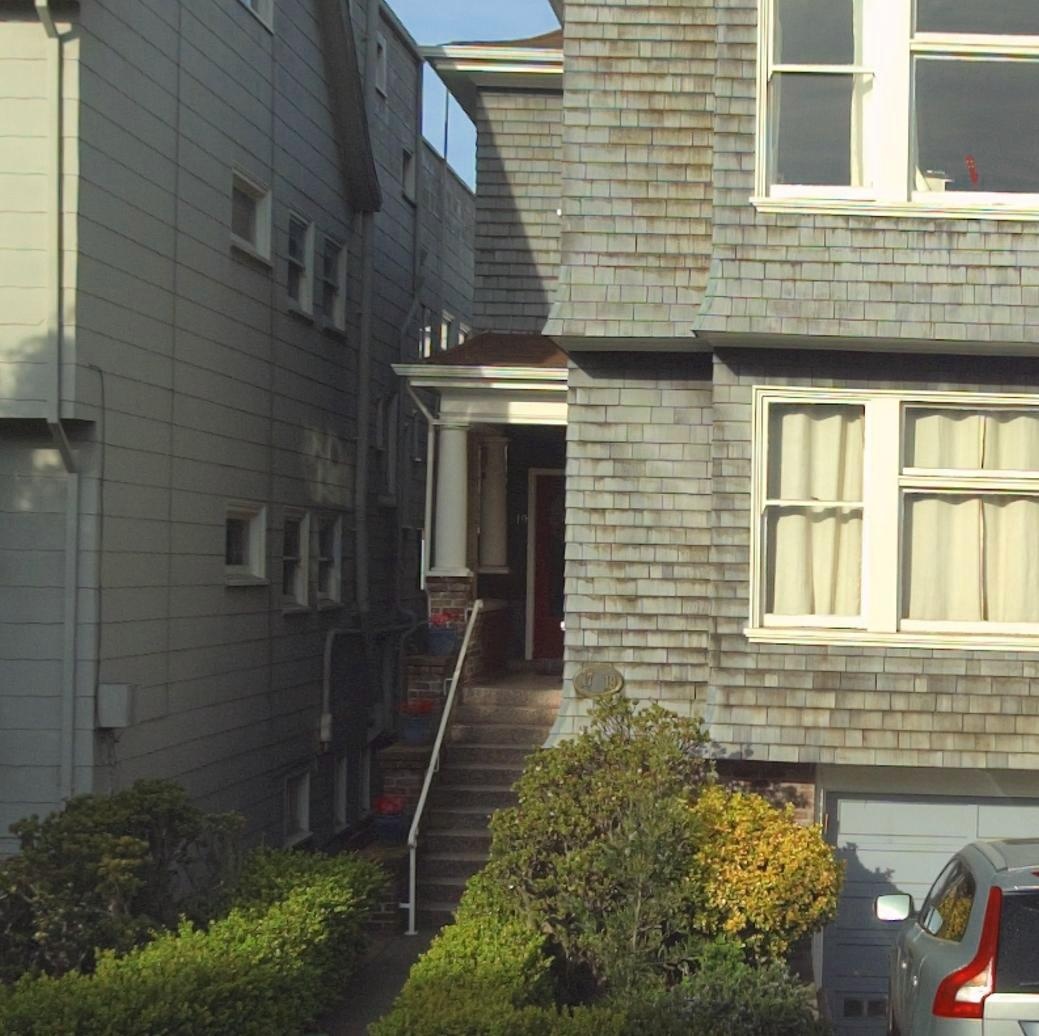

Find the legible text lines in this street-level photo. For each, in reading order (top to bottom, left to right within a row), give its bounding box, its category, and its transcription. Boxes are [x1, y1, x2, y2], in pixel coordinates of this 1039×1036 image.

[515, 513, 530, 527] StreetNumber: 19
[580, 670, 595, 689] StreetNumber: 17
[602, 672, 619, 691] StreetNumber: 19